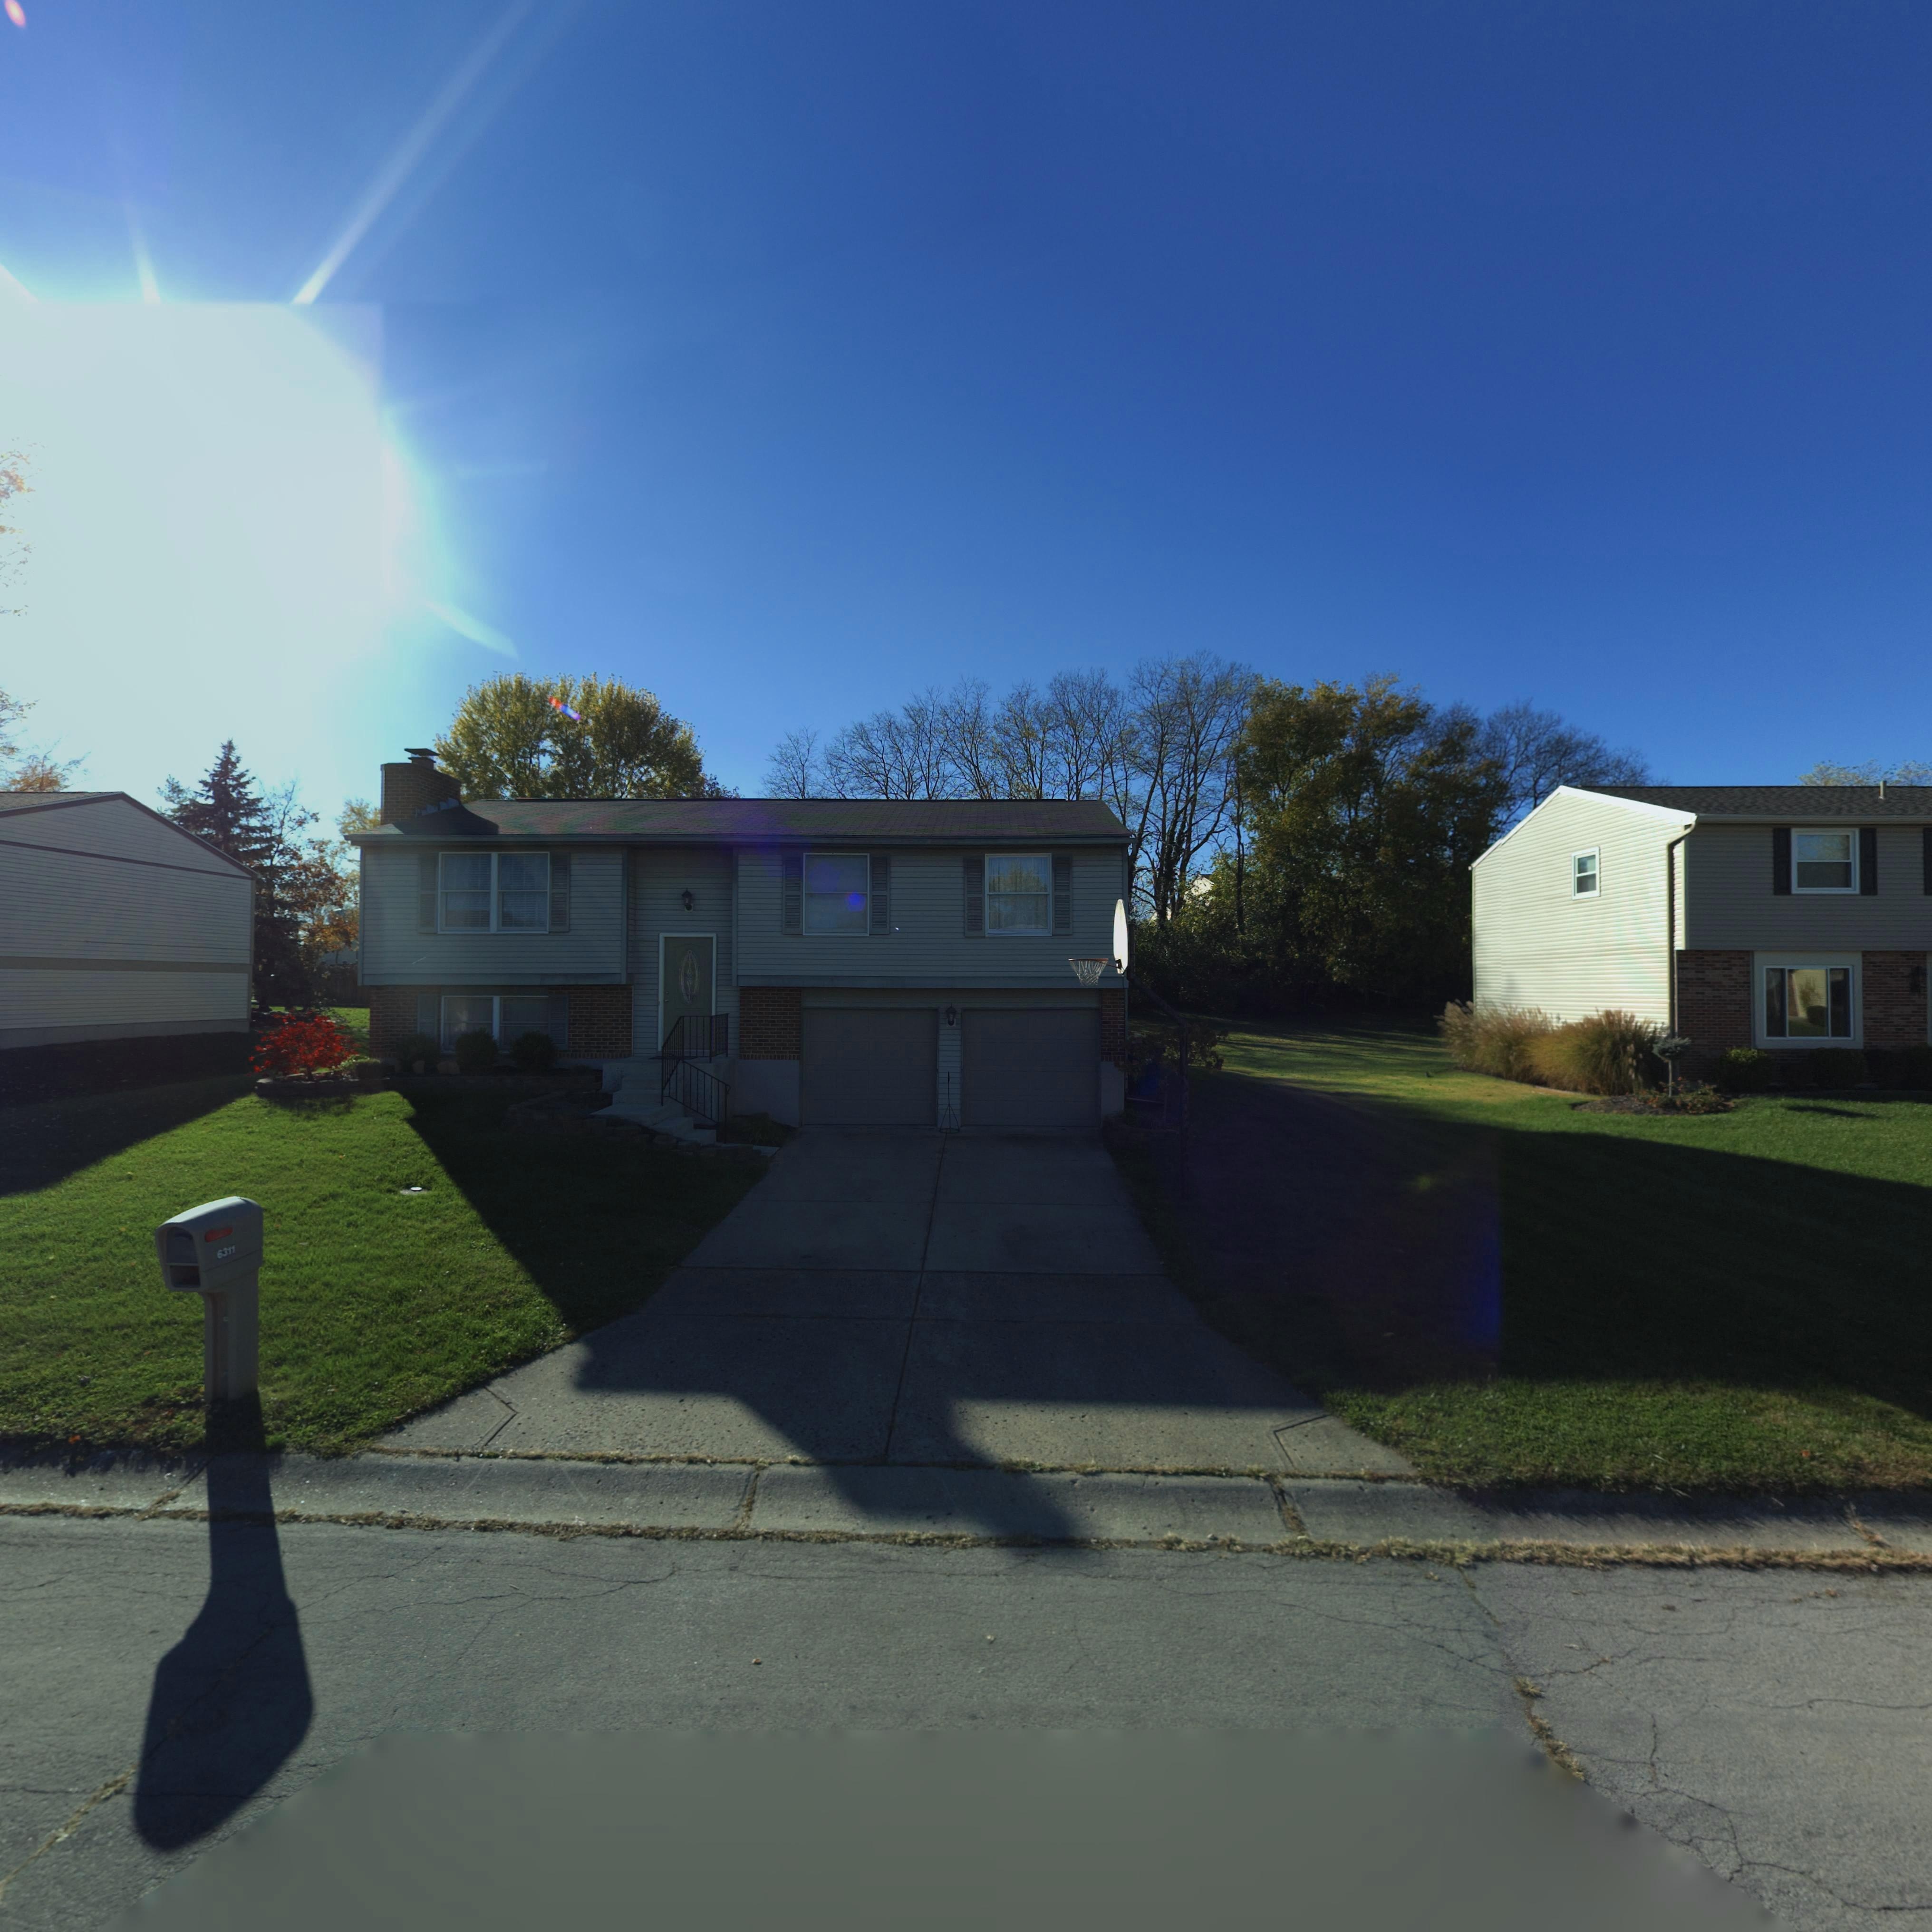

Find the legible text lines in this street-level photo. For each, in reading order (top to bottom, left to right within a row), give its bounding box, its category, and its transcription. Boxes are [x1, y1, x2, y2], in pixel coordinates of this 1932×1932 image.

[216, 1243, 236, 1260] StreetNumber: 6311